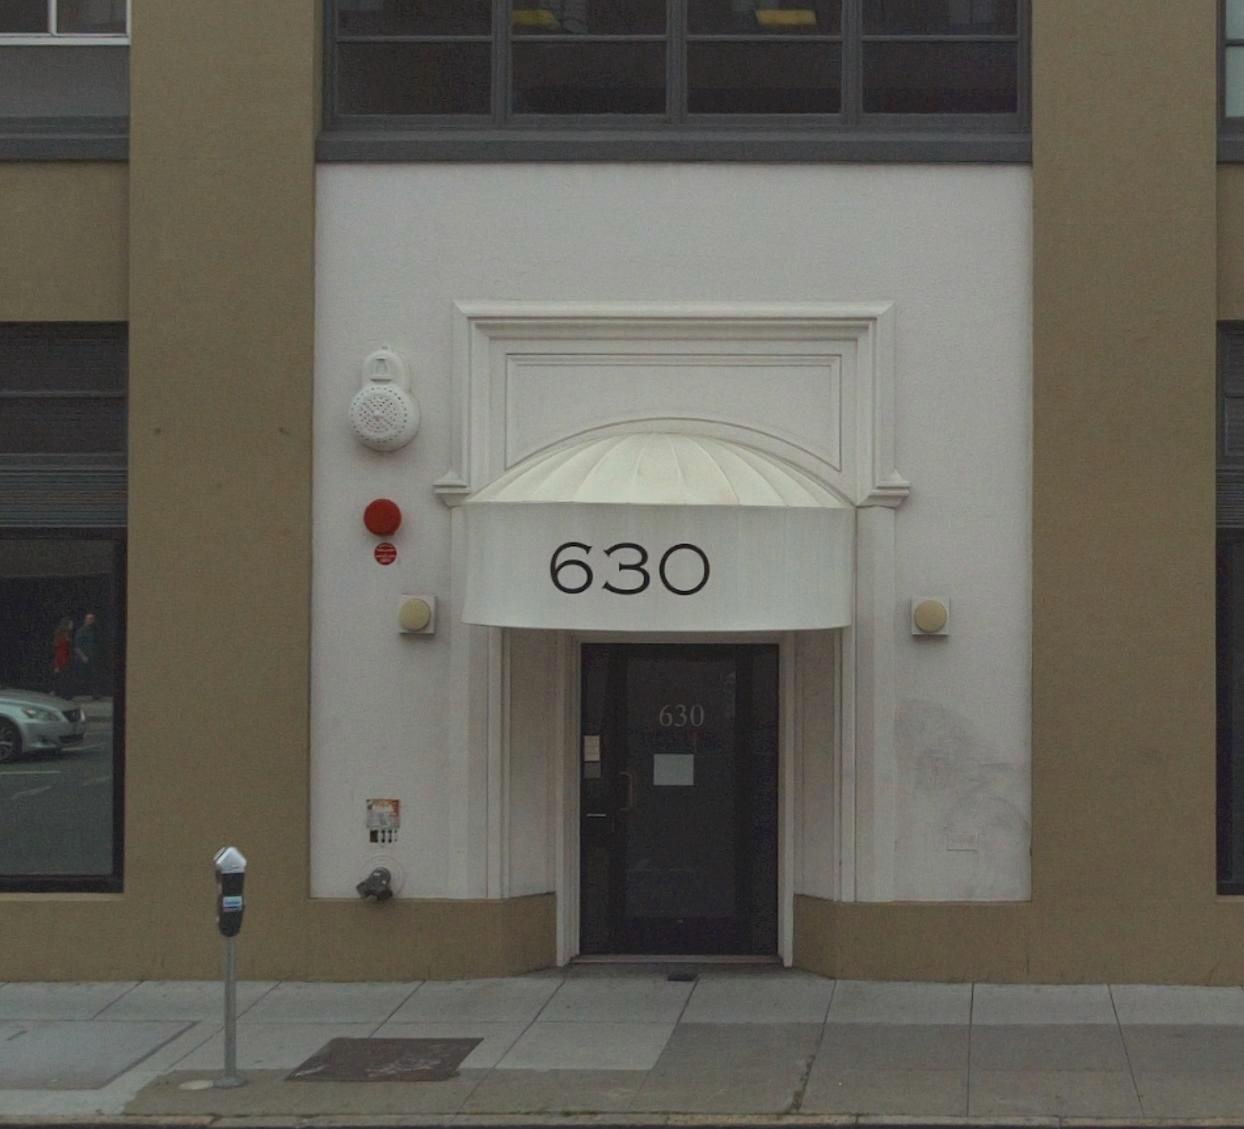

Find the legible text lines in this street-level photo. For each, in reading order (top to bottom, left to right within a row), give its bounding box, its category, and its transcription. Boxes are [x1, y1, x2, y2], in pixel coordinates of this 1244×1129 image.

[548, 539, 712, 597] StreetNumber: 630
[657, 702, 706, 729] StreetNumber: 630